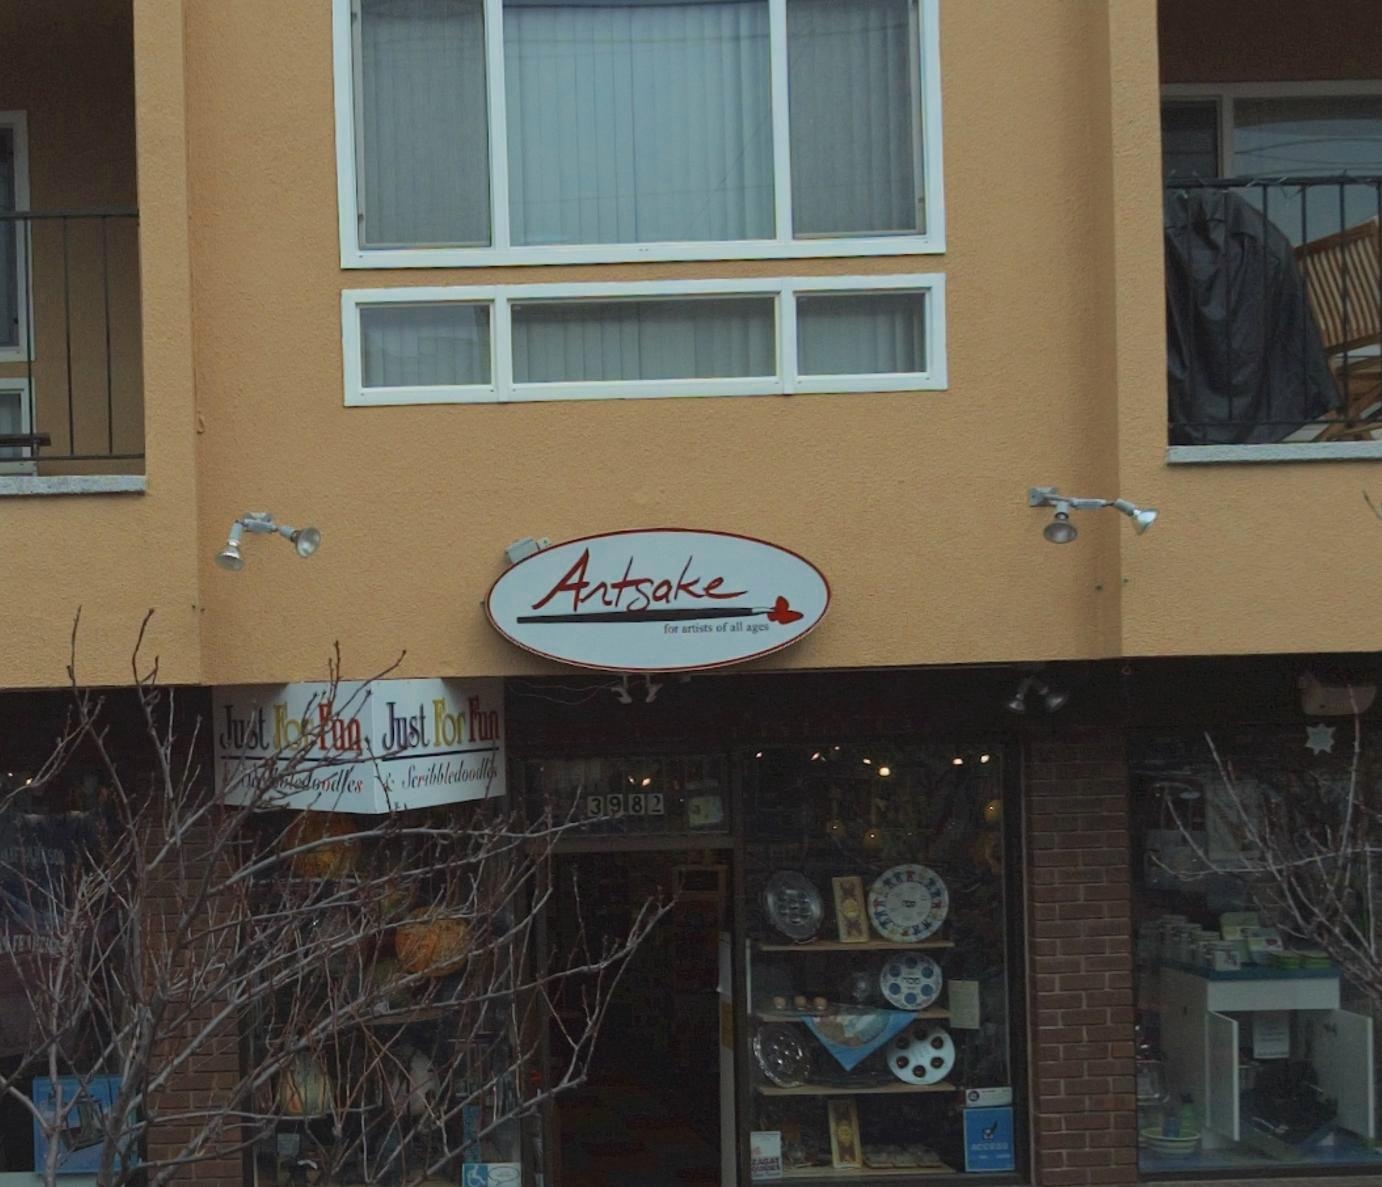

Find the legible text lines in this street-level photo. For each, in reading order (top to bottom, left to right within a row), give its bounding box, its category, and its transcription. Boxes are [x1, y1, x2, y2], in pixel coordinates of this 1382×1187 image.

[525, 545, 749, 614] BusinessName: Artsake
[663, 620, 771, 635] None: for artists of all ages
[217, 703, 364, 753] BusinessName: Ju*t Fo* *un
[379, 692, 502, 753] BusinessName: Just For Fun
[310, 766, 364, 795] None: oodles
[399, 750, 500, 792] None: Scribbledoodl**
[589, 793, 662, 816] BusinessName: 3982
[11, 933, 26, 953] None: FE
[968, 1141, 1012, 1154] None: ACCESS